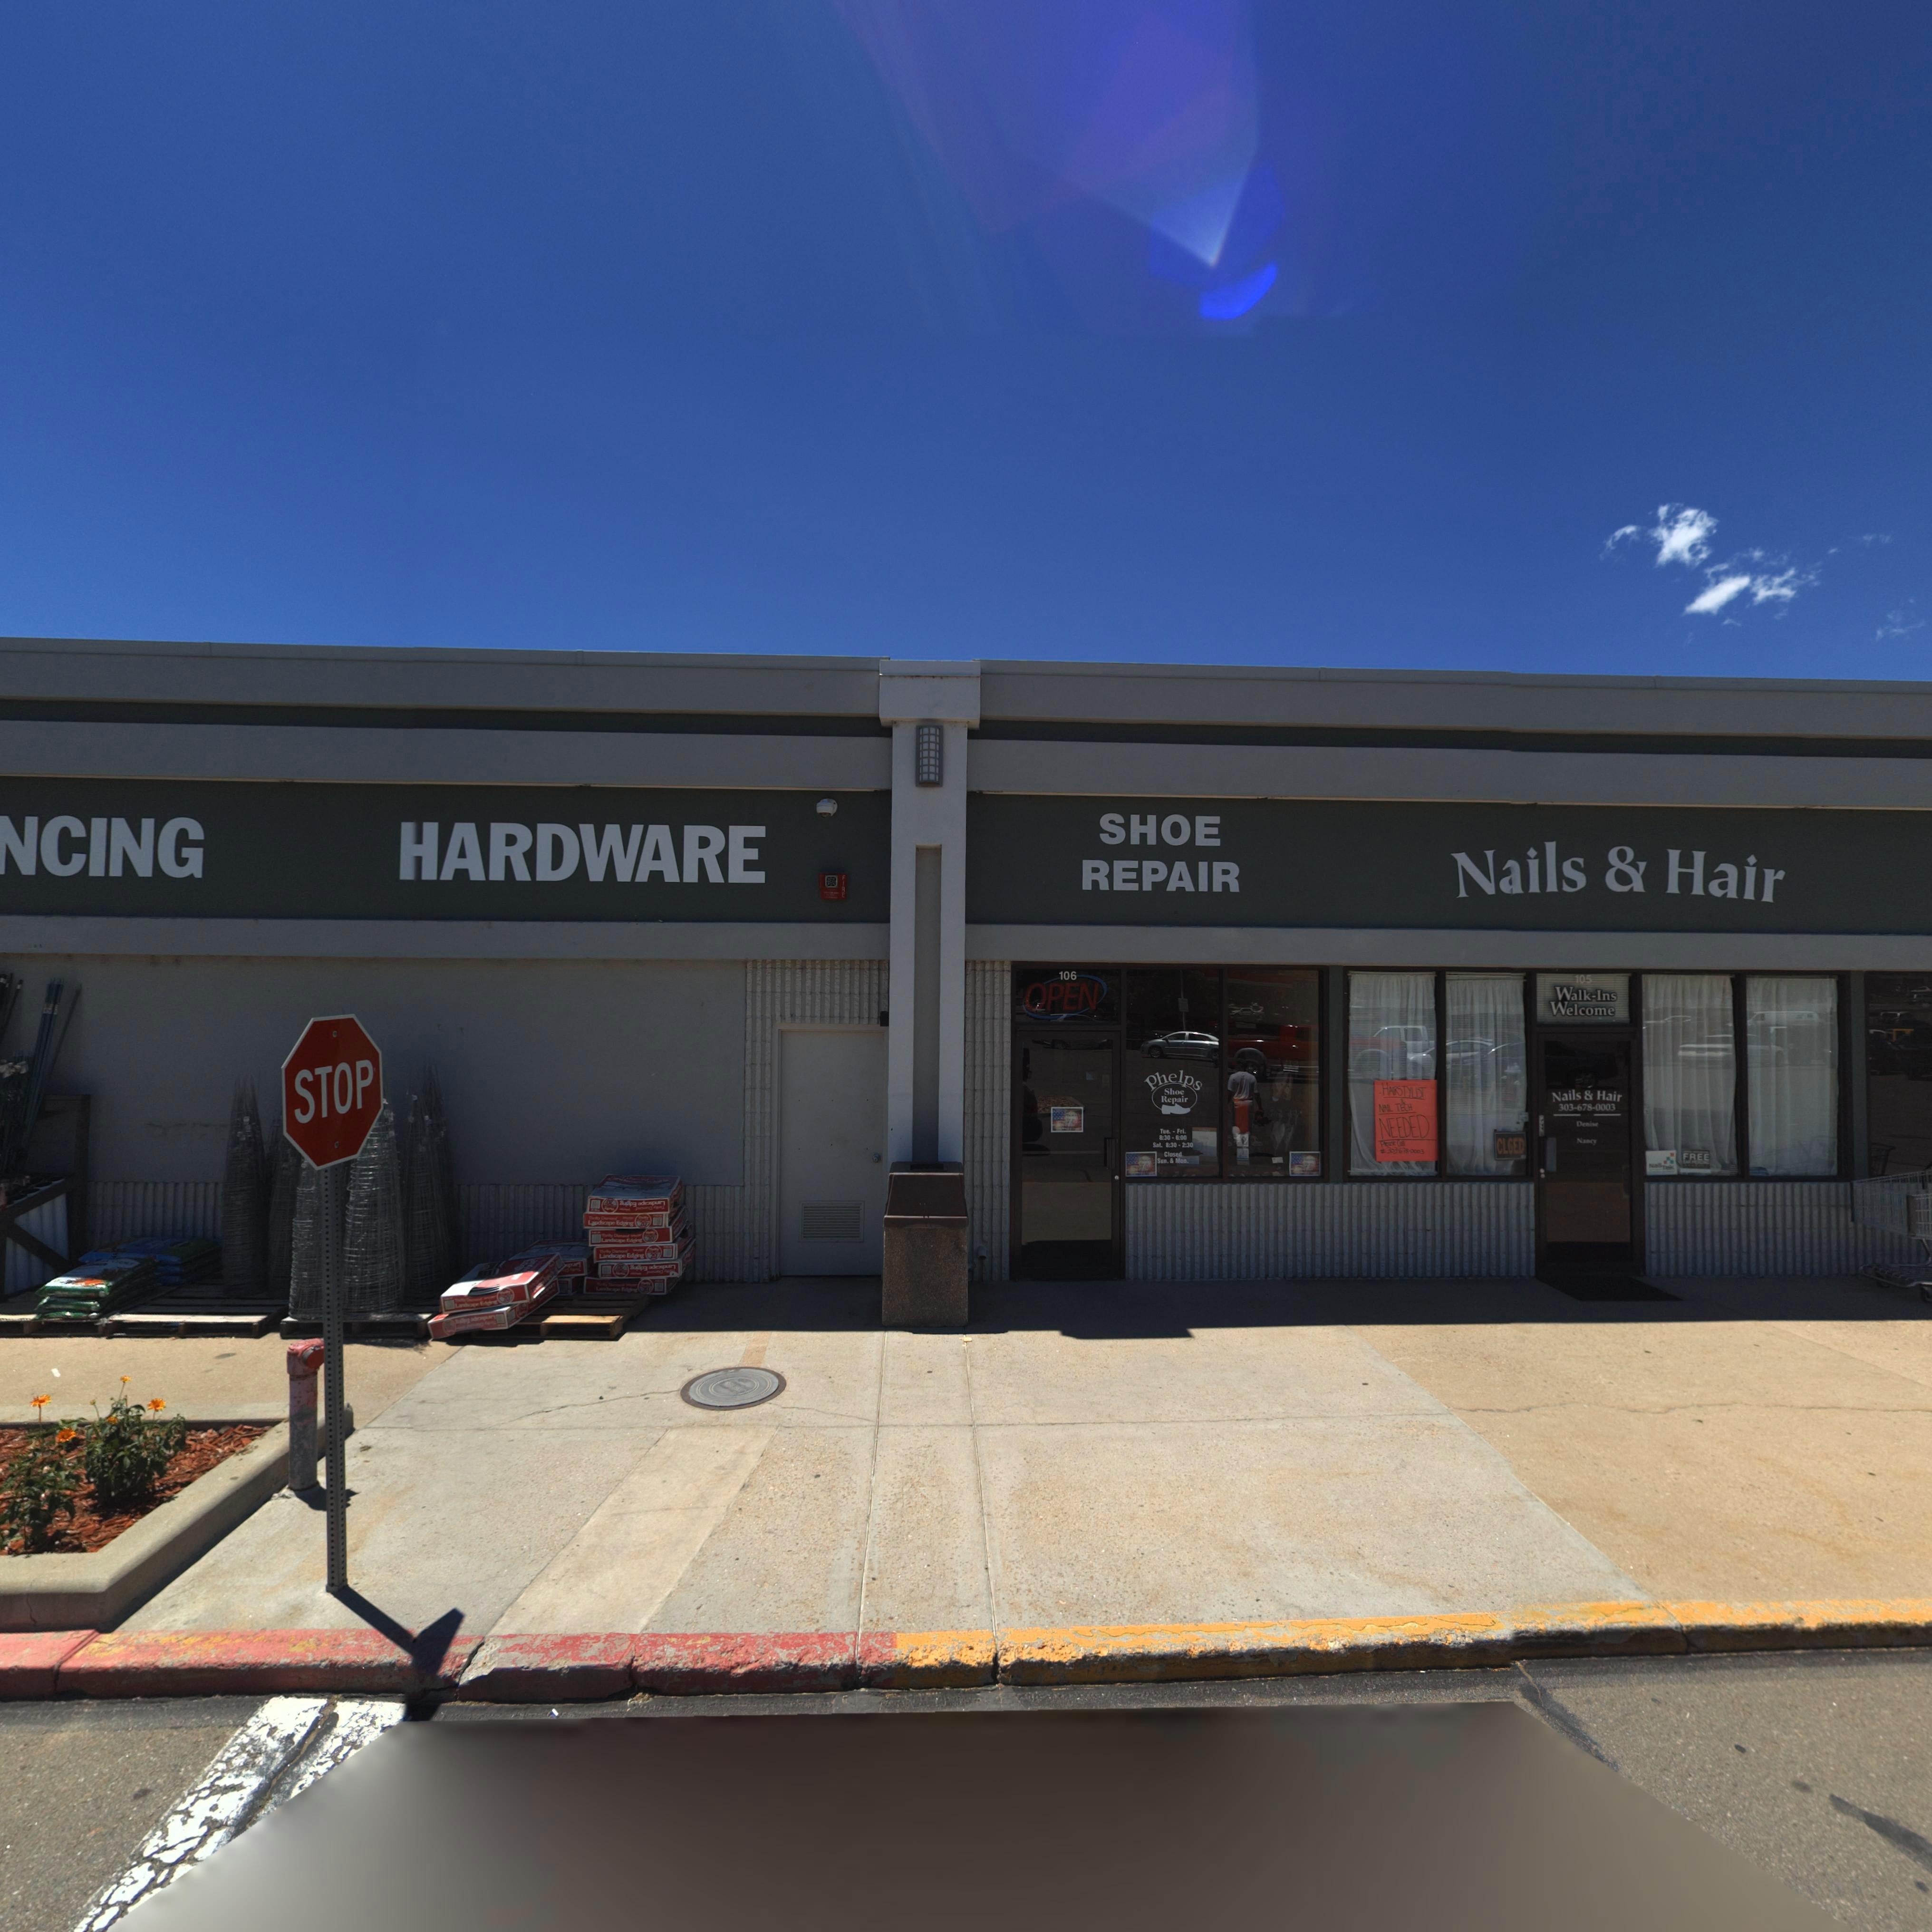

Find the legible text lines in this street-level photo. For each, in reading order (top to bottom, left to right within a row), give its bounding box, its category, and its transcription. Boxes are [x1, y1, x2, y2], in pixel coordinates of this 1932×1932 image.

[1449, 840, 1786, 903] BusinessName: Nails & Hair
[1059, 971, 1076, 980] StreetNumber: 106
[1575, 974, 1592, 984] StreetNumber: 105
[1142, 1069, 1202, 1092] BusinessName: Phelps
[1163, 1088, 1184, 1095] BusinessName: Shoe
[1160, 1095, 1188, 1104] BusinessName: Repair
[1551, 1089, 1623, 1102] BusinessName: Nails & Hair